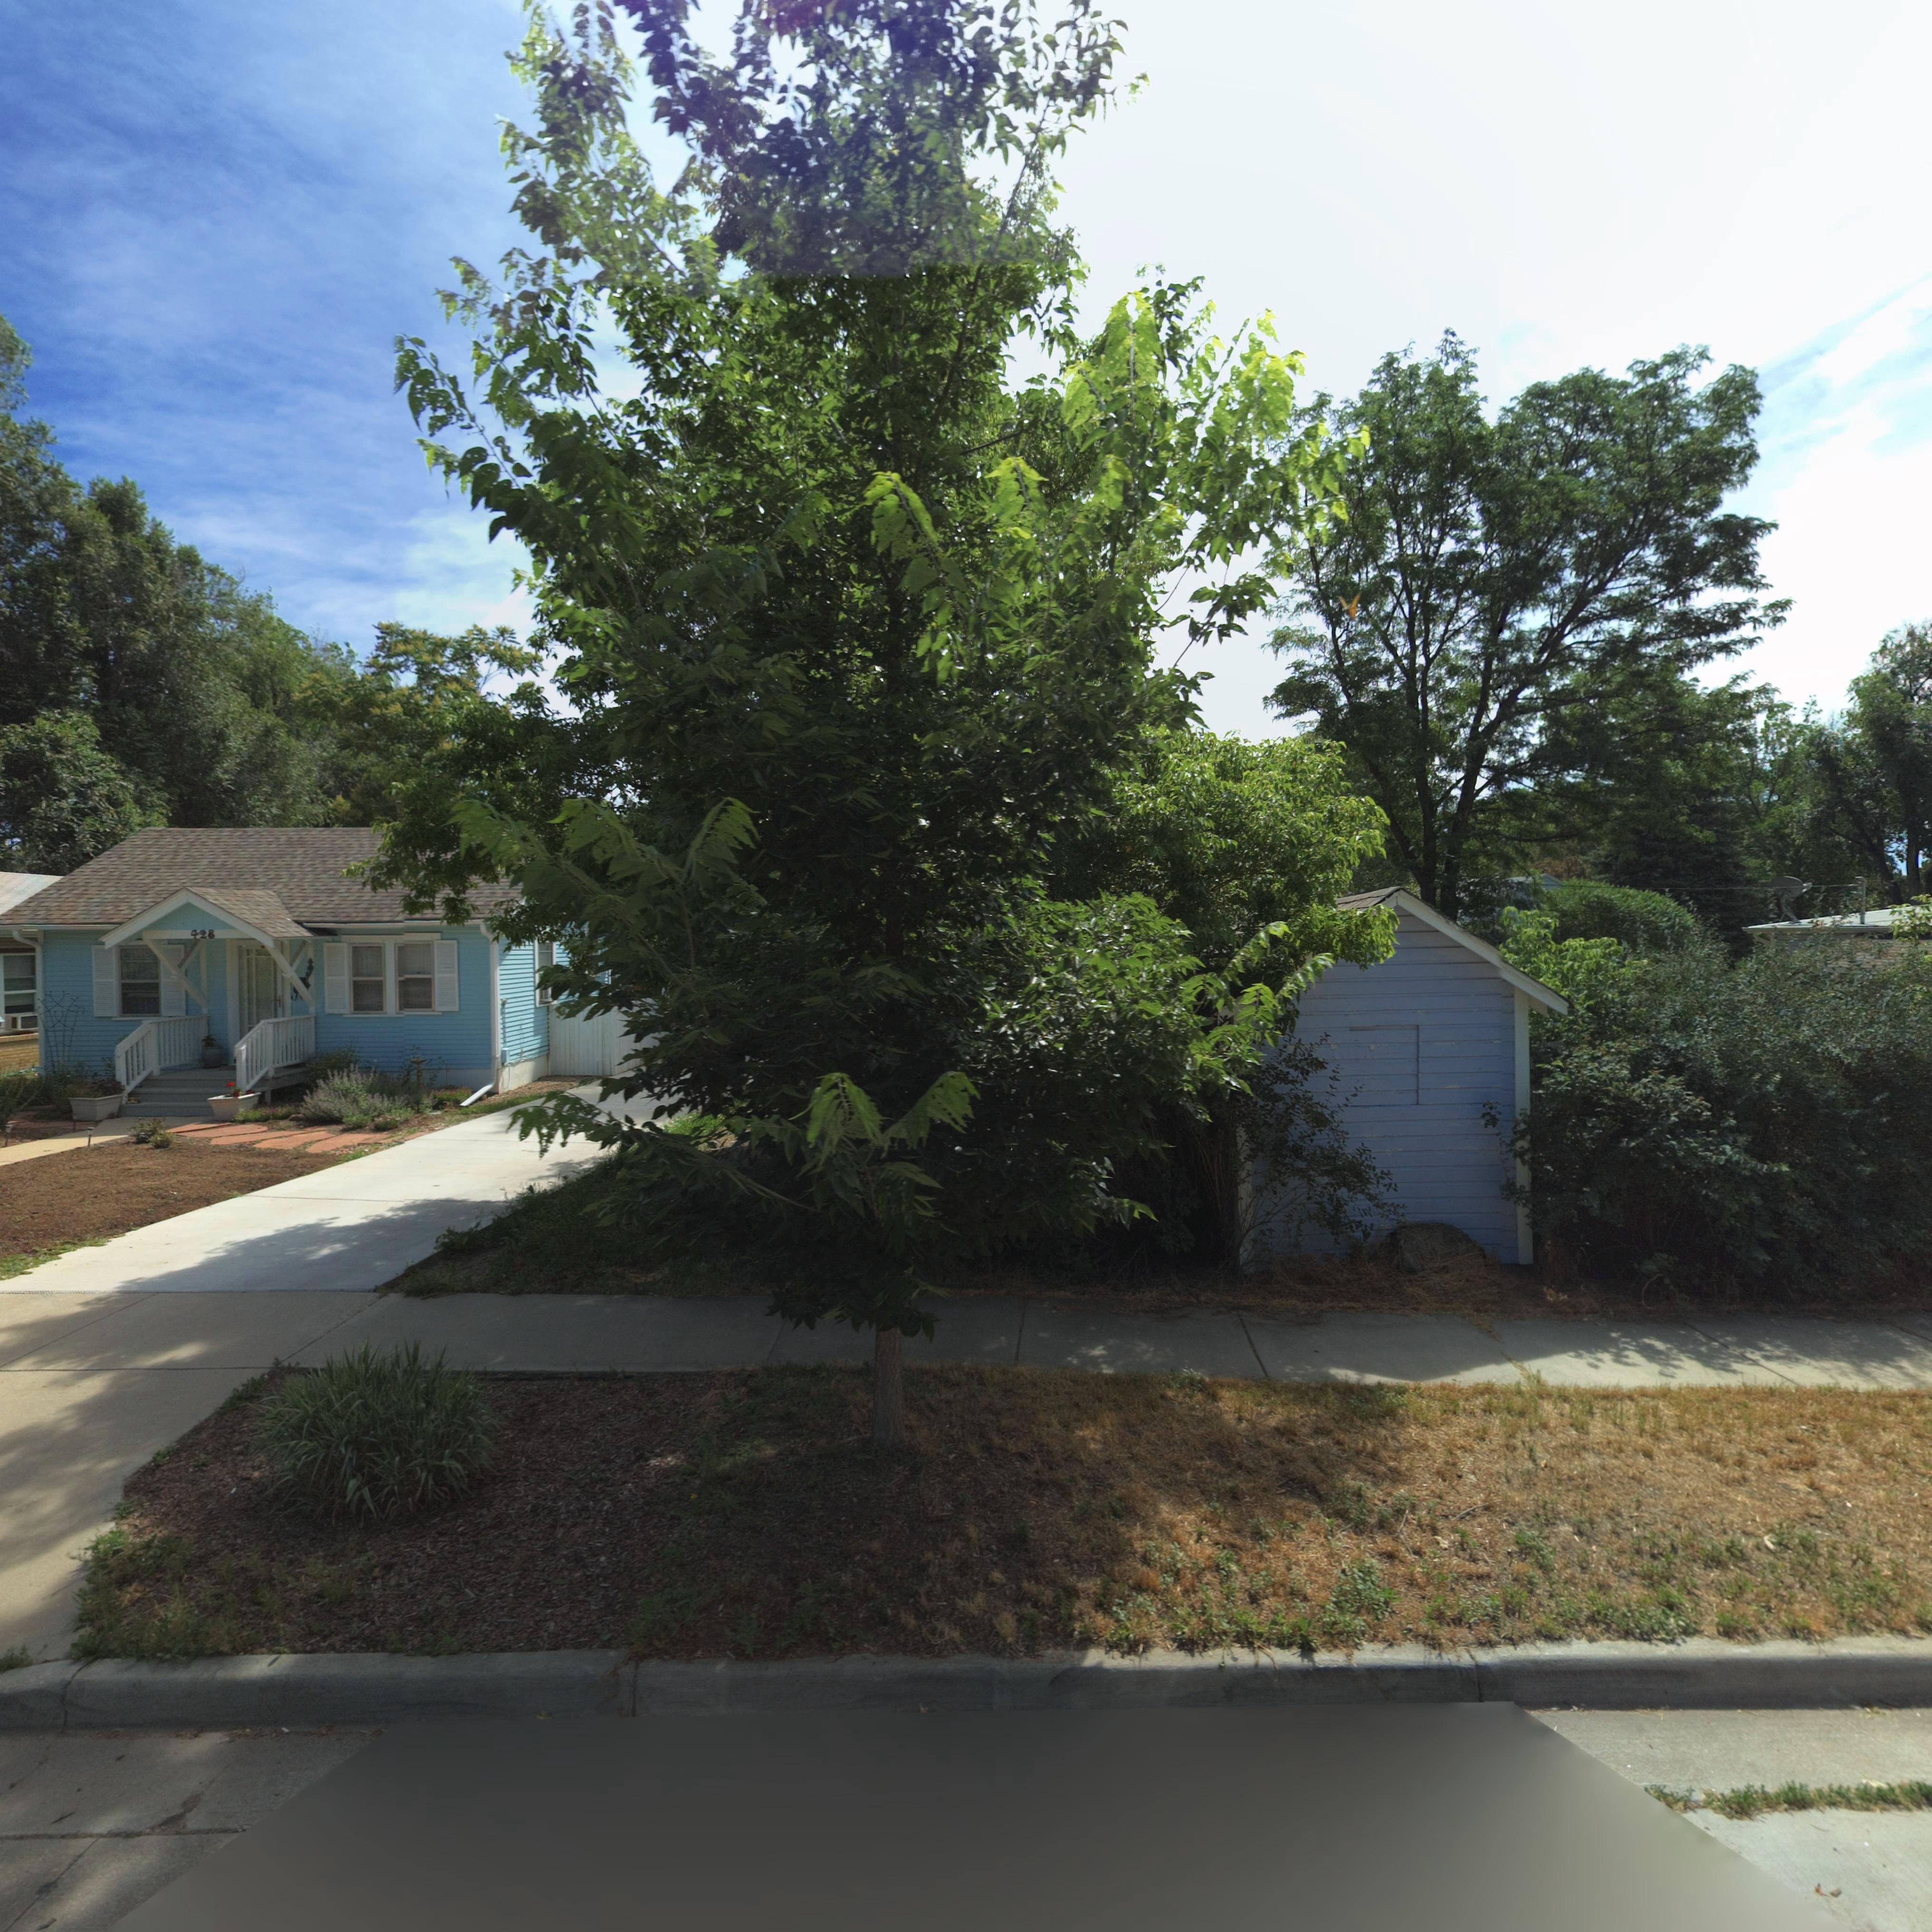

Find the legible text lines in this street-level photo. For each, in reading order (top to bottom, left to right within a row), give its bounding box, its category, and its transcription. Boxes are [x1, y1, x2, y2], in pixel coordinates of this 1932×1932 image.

[190, 929, 214, 939] StreetNumber: 428